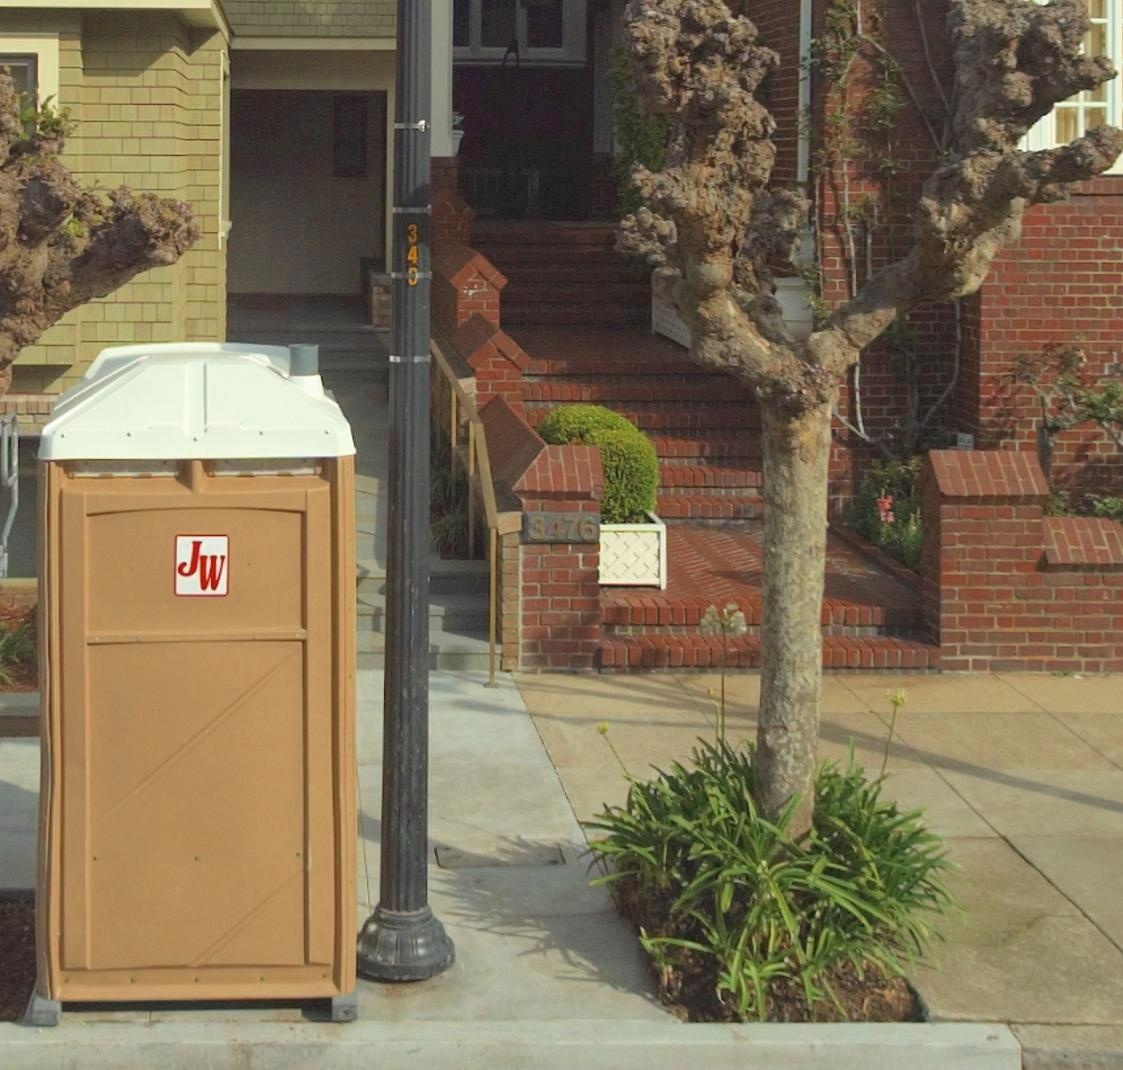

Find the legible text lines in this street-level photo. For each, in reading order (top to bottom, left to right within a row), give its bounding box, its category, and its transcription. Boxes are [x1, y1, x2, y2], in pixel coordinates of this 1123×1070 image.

[404, 219, 420, 288] None: 34*
[526, 513, 599, 542] StreetNumber: 3476
[176, 539, 203, 578] None: J
[197, 553, 227, 593] None: W